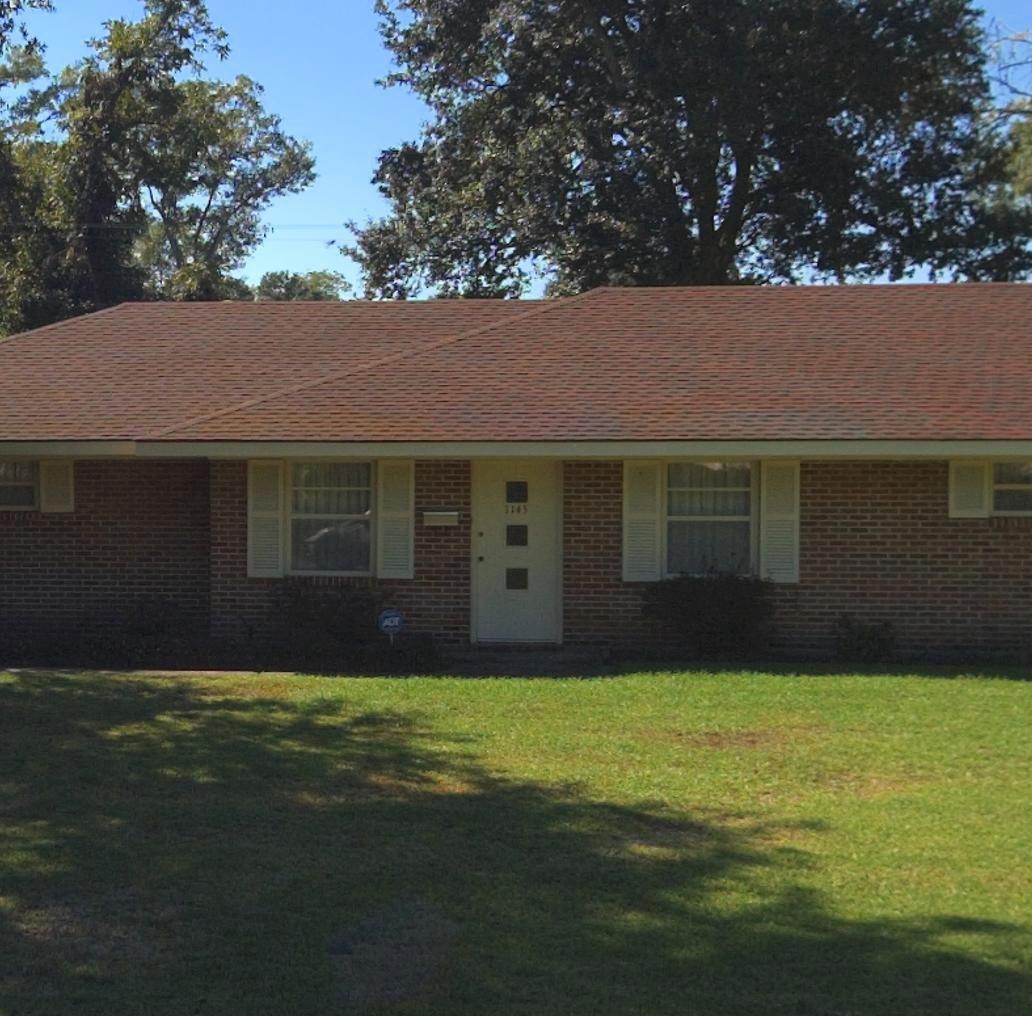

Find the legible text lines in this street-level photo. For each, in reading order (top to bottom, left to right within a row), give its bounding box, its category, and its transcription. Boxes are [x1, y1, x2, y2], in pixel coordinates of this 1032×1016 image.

[503, 503, 529, 515] StreetNumber: 1145
[381, 616, 401, 628] None: ADT